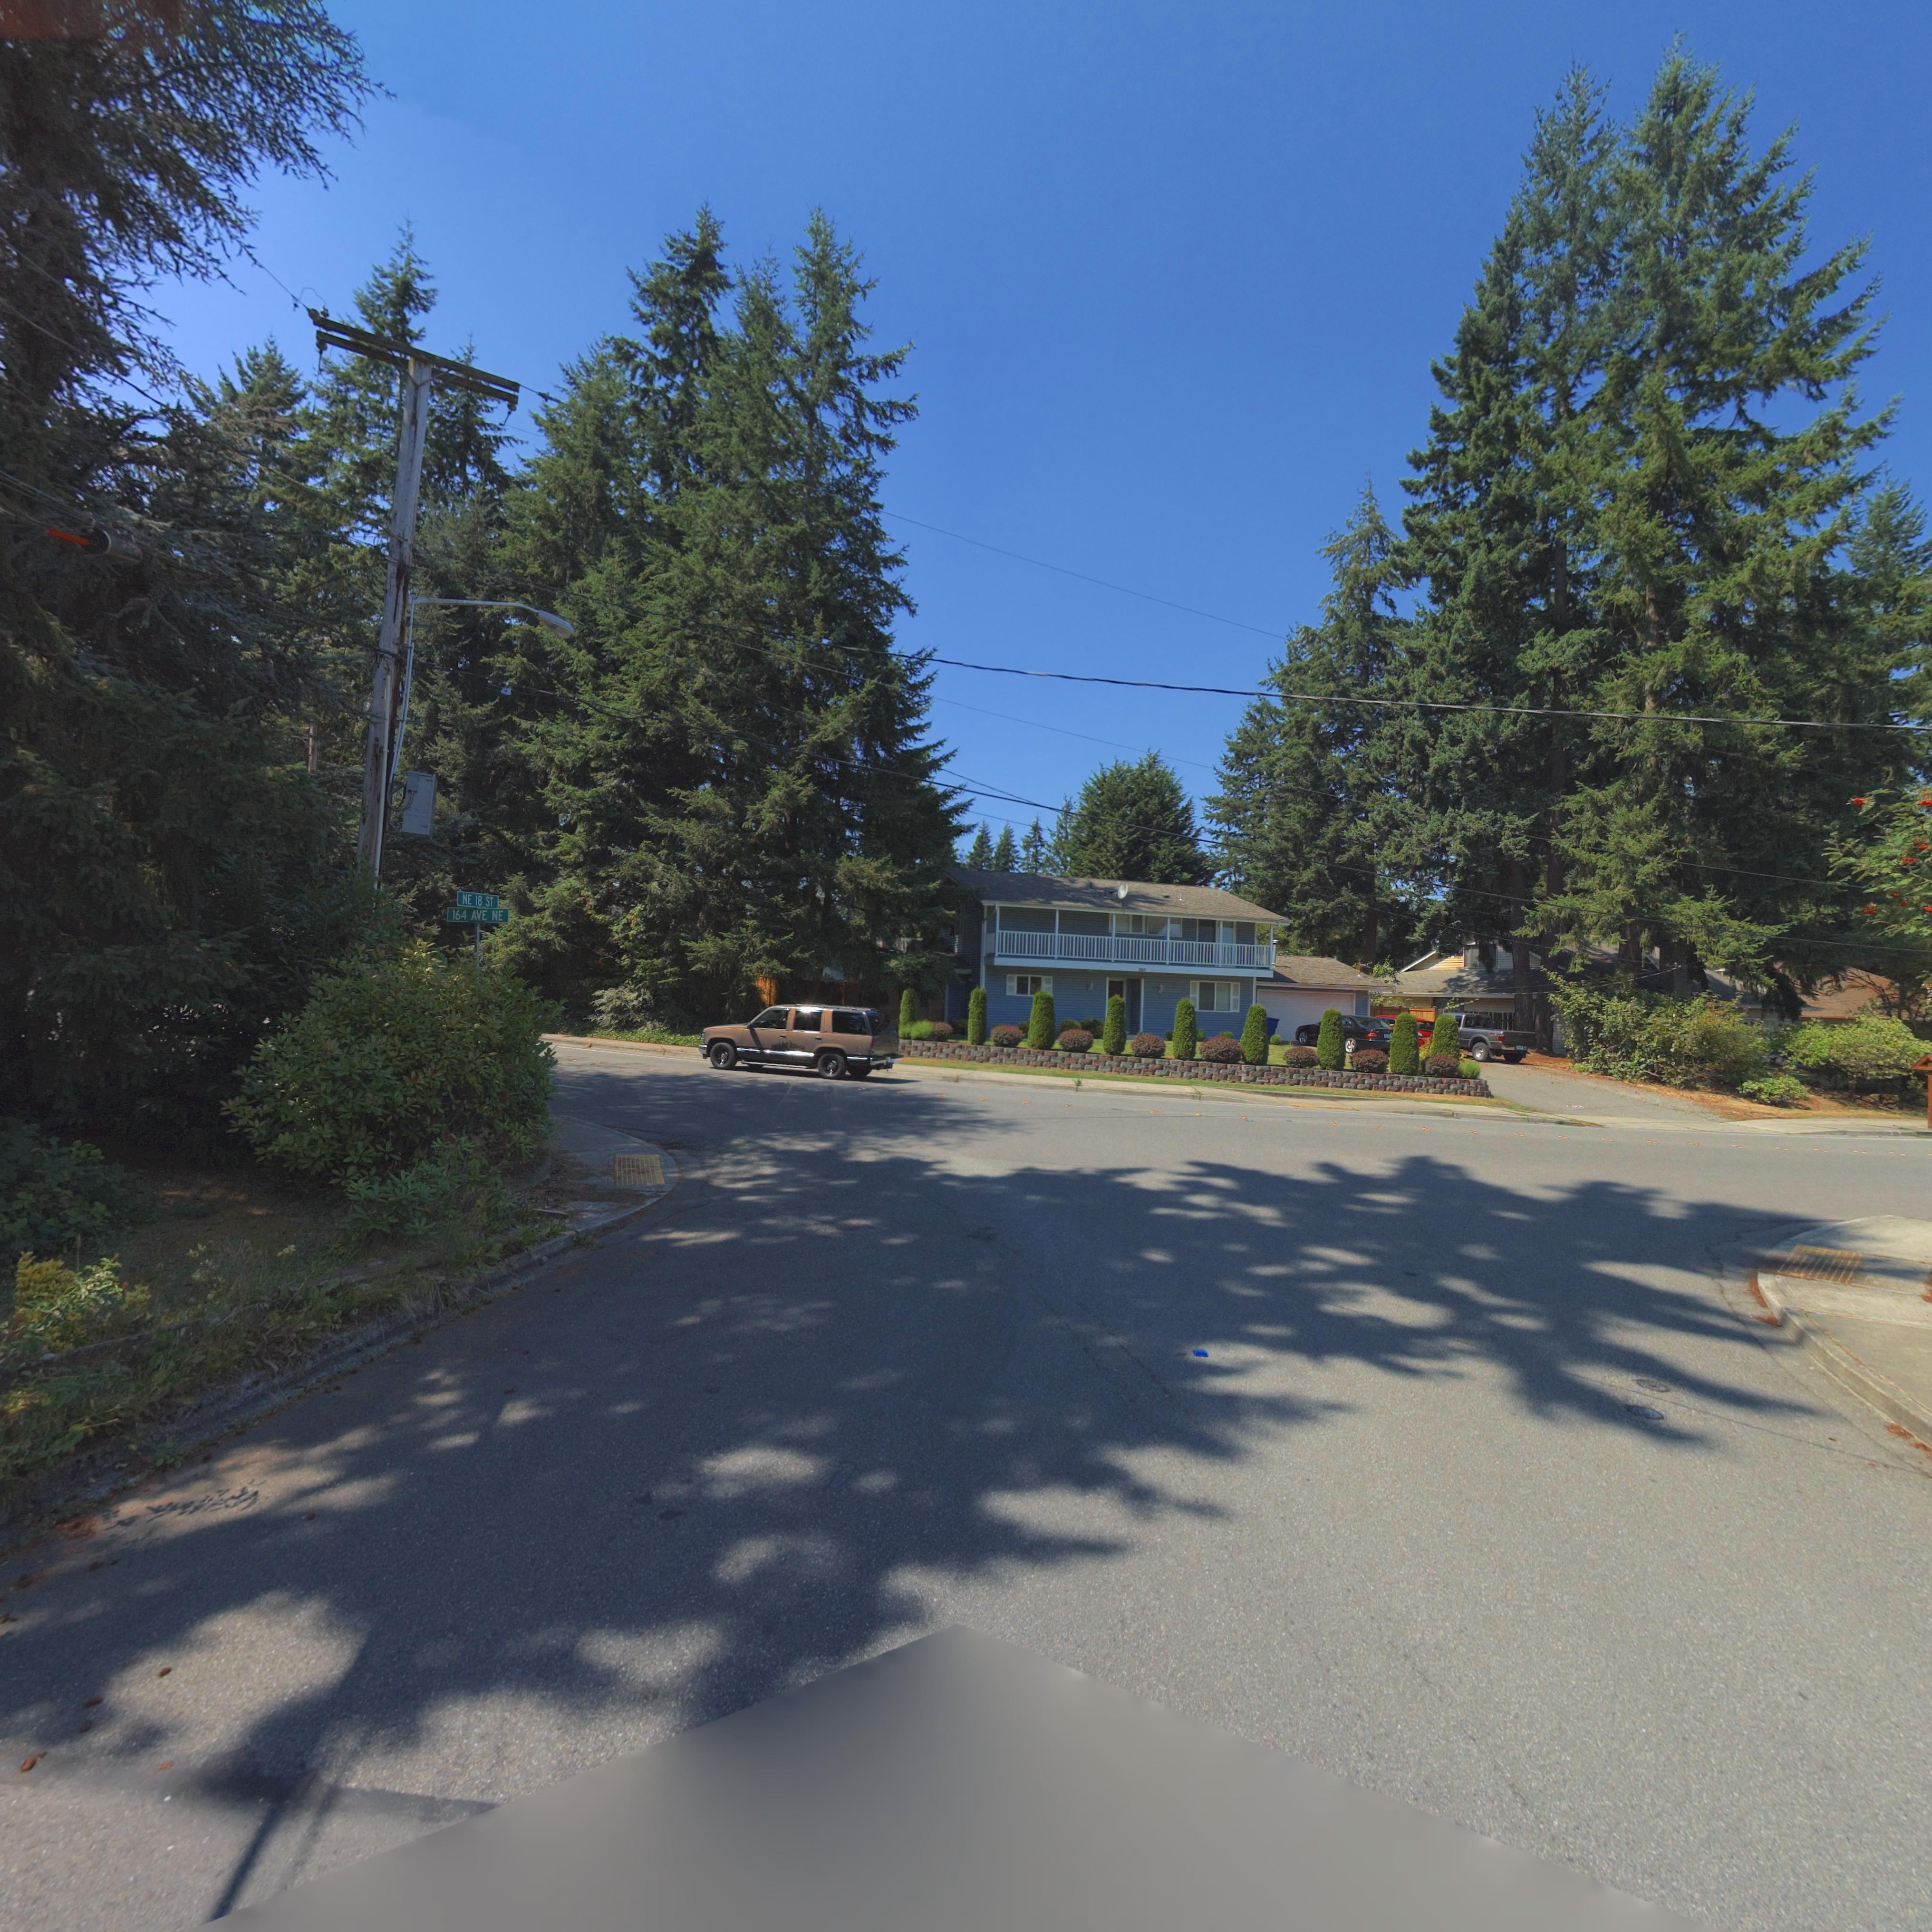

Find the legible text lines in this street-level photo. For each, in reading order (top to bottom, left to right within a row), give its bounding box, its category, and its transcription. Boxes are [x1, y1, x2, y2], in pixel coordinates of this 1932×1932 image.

[462, 893, 494, 908] StreetName: NE 18 ST
[453, 910, 502, 920] StreetName: 164 AVE NE